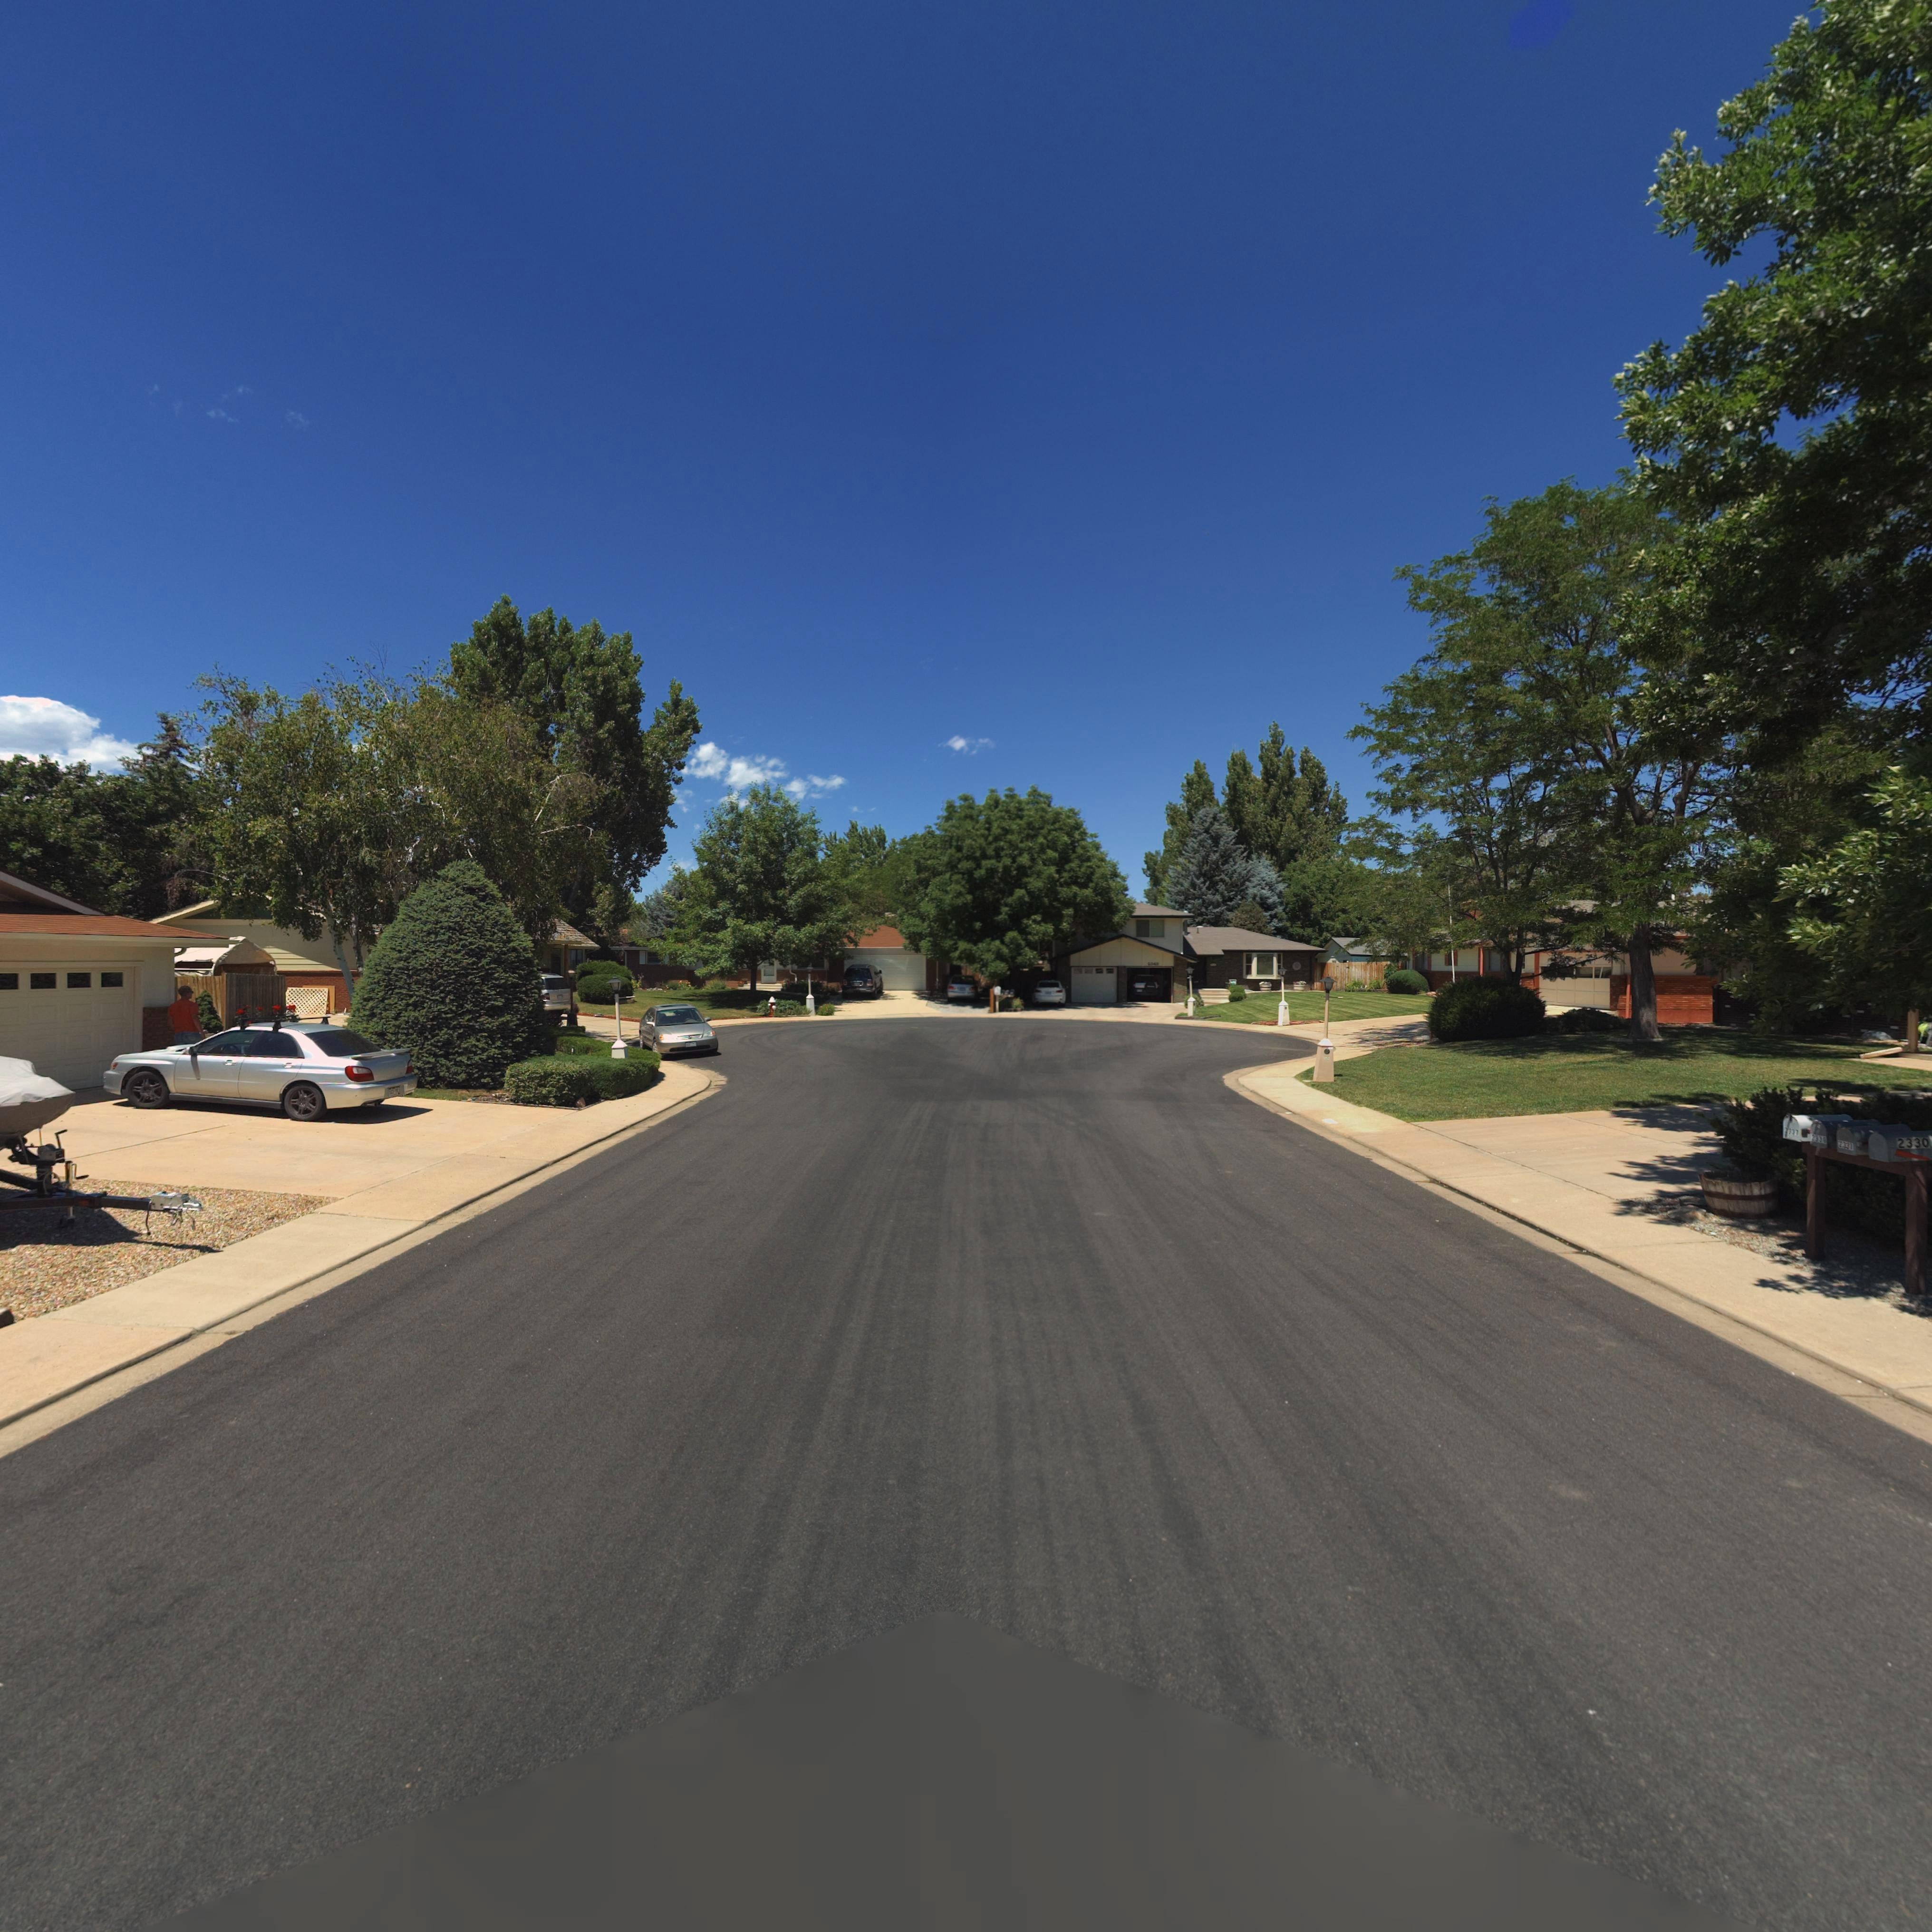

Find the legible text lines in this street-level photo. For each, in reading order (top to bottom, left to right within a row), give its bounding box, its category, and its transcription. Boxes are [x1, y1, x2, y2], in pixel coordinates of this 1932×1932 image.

[1147, 961, 1159, 966] StreetNumber: 2348
[1784, 1127, 1798, 1136] StreetNumber: 2337
[1811, 1134, 1826, 1143] StreetNumber: 2336
[1838, 1140, 1853, 1150] StreetNumber: 2331
[1897, 1137, 1929, 1149] StreetNumber: 2330